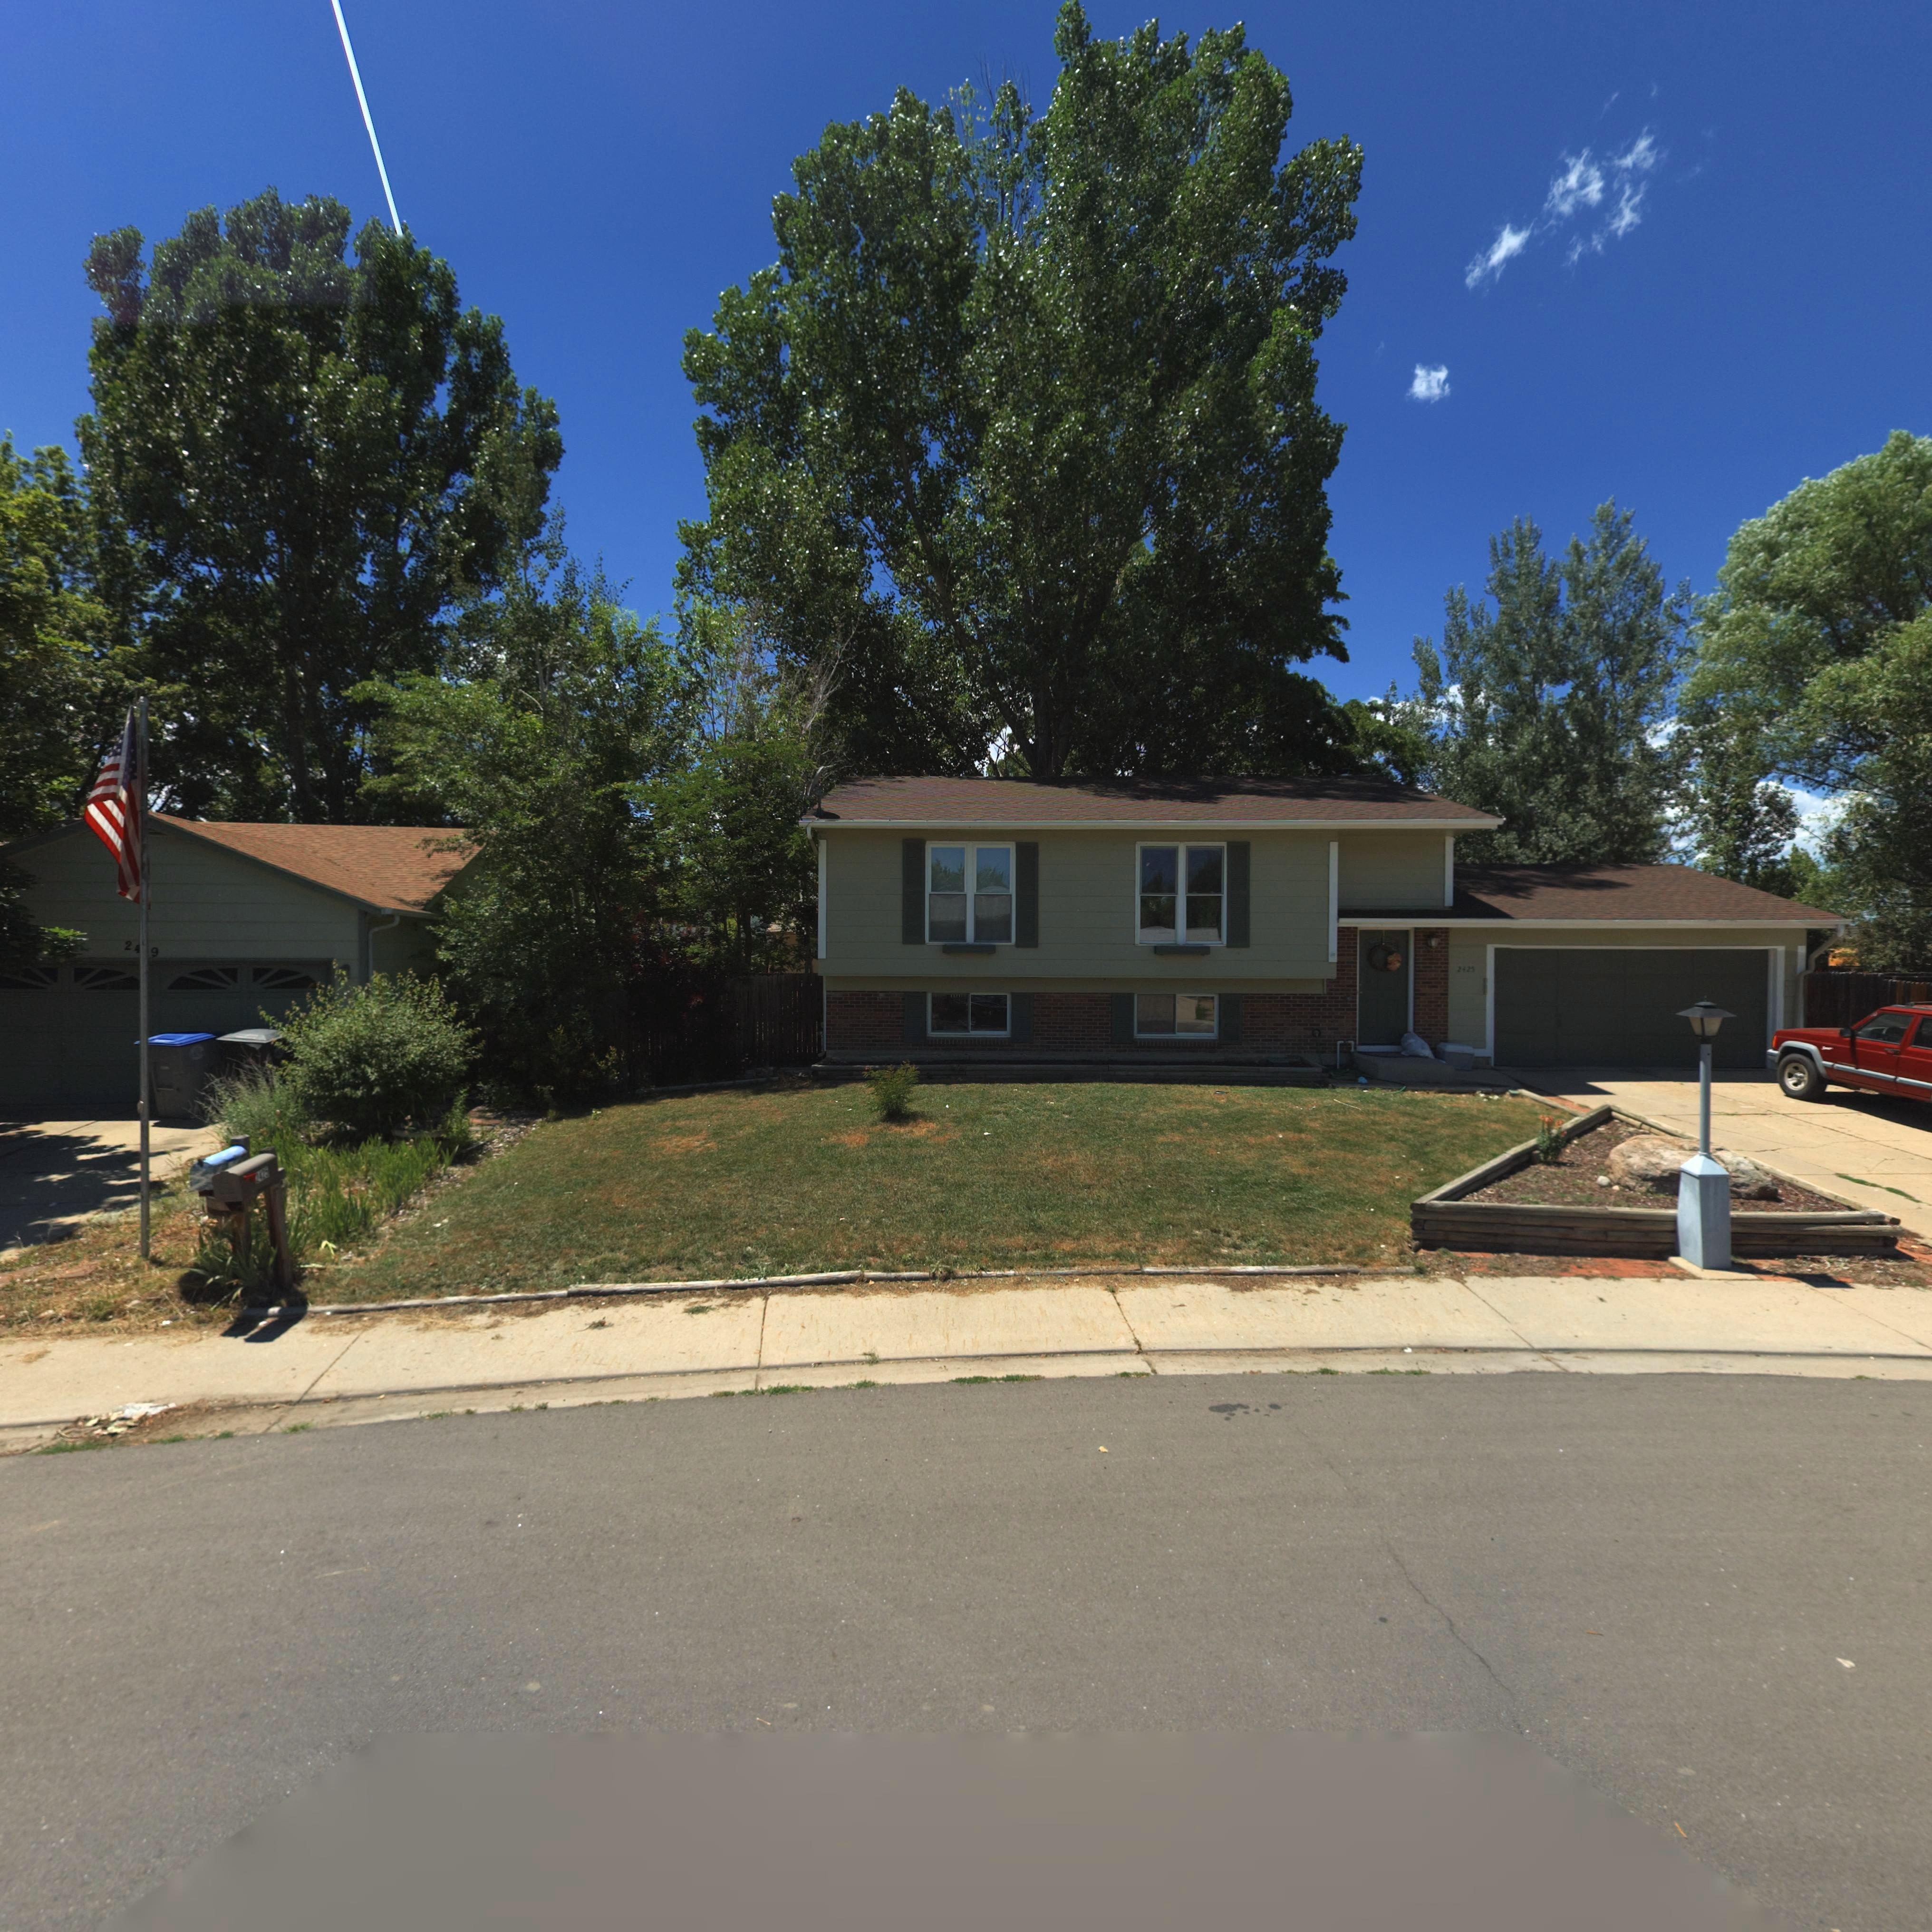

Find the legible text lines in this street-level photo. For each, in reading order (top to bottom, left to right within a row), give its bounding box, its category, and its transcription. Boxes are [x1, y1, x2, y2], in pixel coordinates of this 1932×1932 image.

[124, 940, 158, 958] StreetNumber: 24*9
[1456, 966, 1476, 972] StreetNumber: 2425